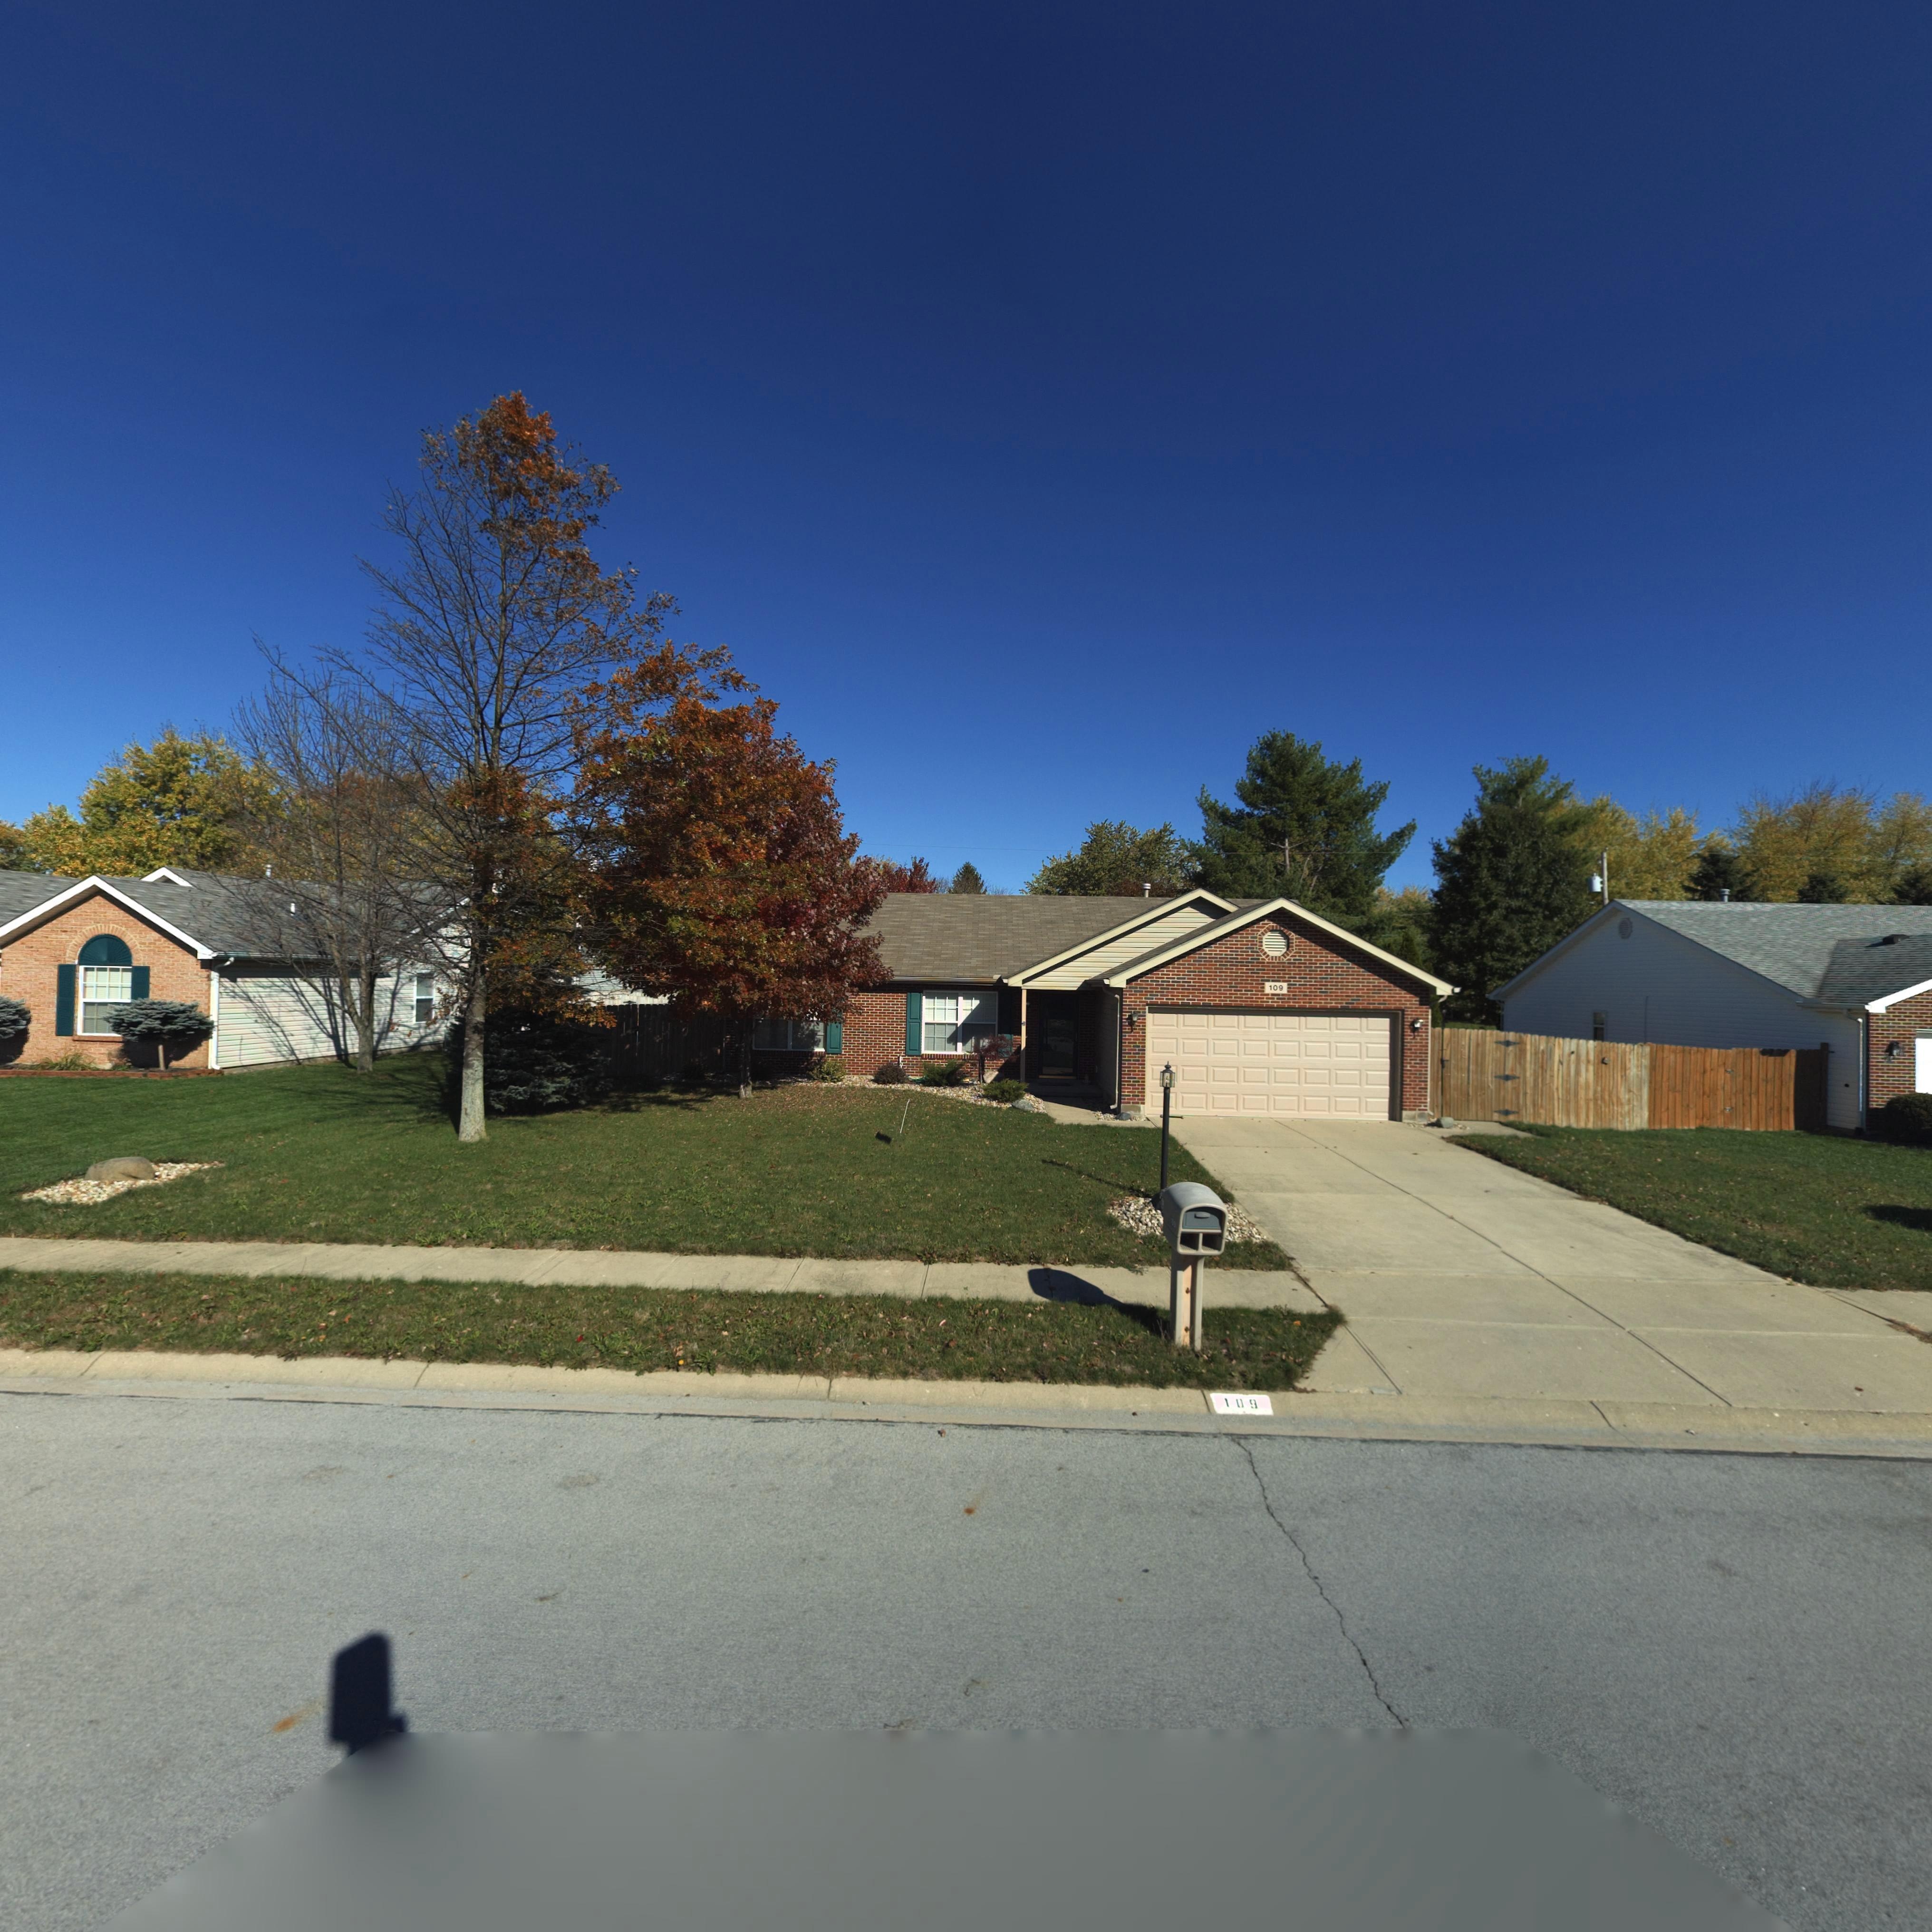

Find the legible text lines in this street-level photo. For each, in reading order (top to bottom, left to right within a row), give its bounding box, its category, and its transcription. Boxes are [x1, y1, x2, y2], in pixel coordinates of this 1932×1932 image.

[1269, 985, 1284, 991] StreetNumber: 109
[1173, 1219, 1176, 1228] StreetNumber: 9
[1223, 1398, 1259, 1409] StreetNumber: 109